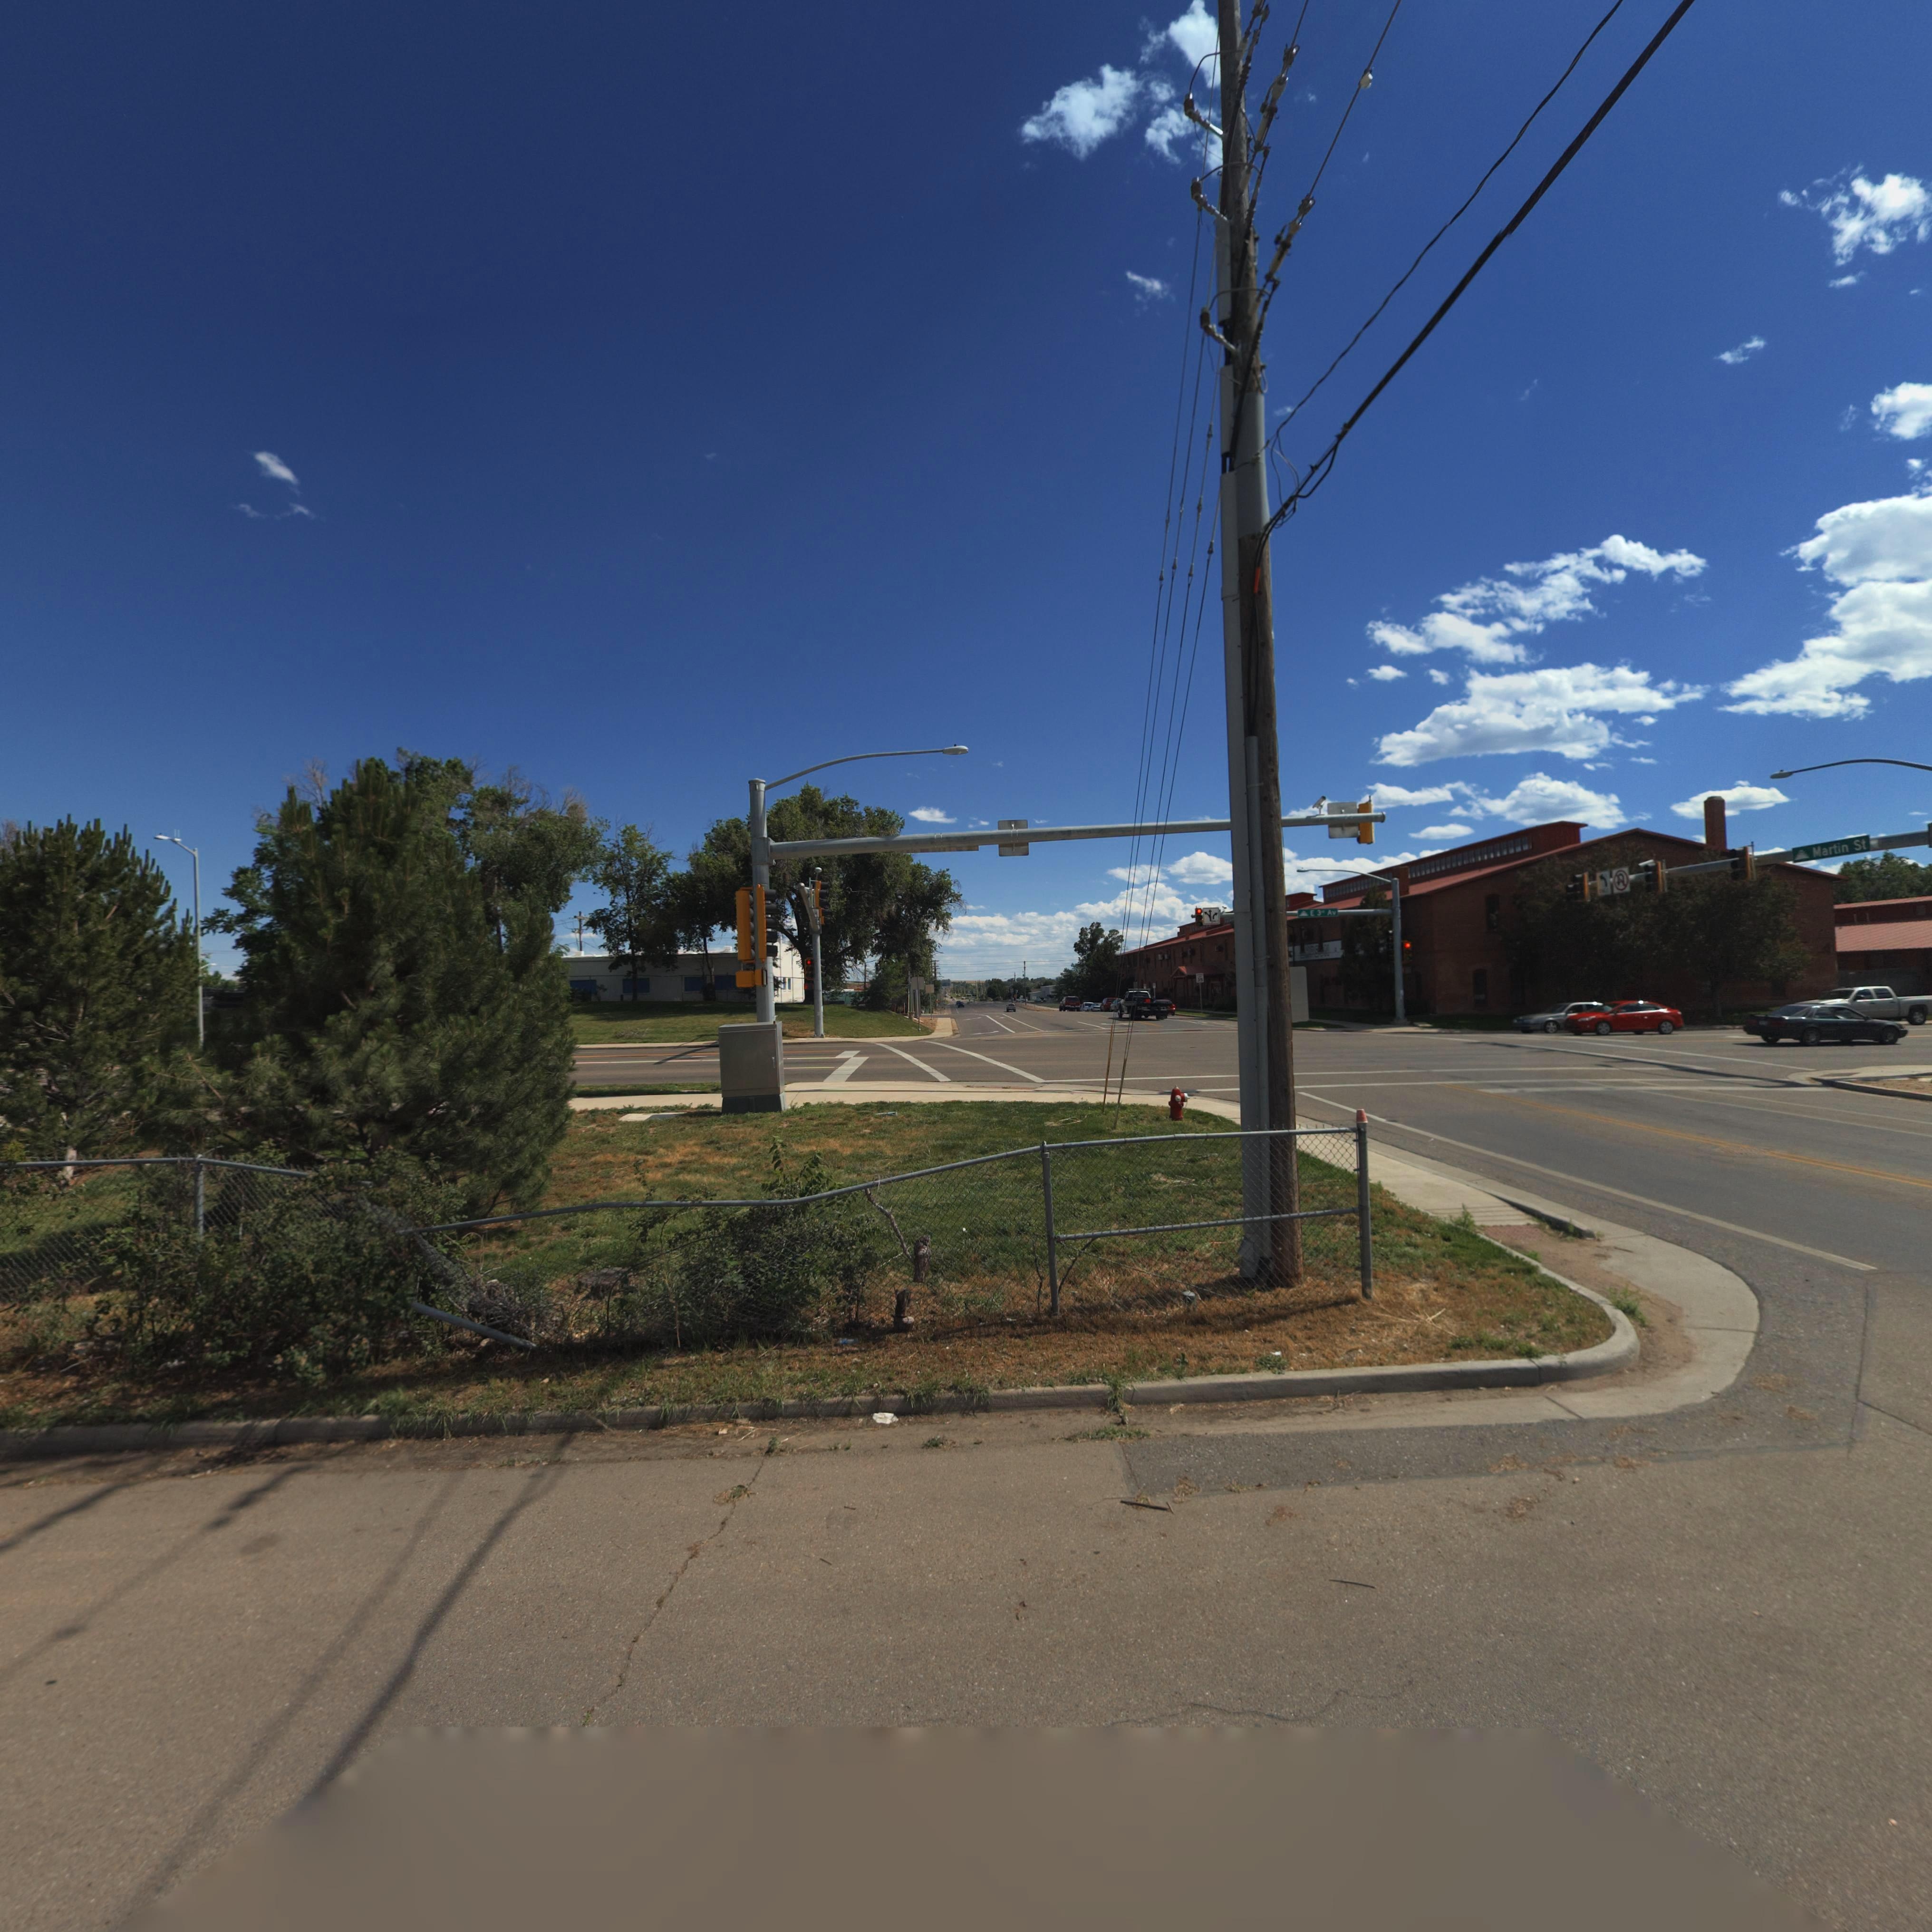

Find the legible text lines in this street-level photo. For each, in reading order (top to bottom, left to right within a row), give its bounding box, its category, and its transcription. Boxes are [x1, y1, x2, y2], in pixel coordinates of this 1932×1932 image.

[1813, 838, 1866, 858] StreetName: Martin St
[1310, 909, 1336, 916] StreetName: E 3rd Av